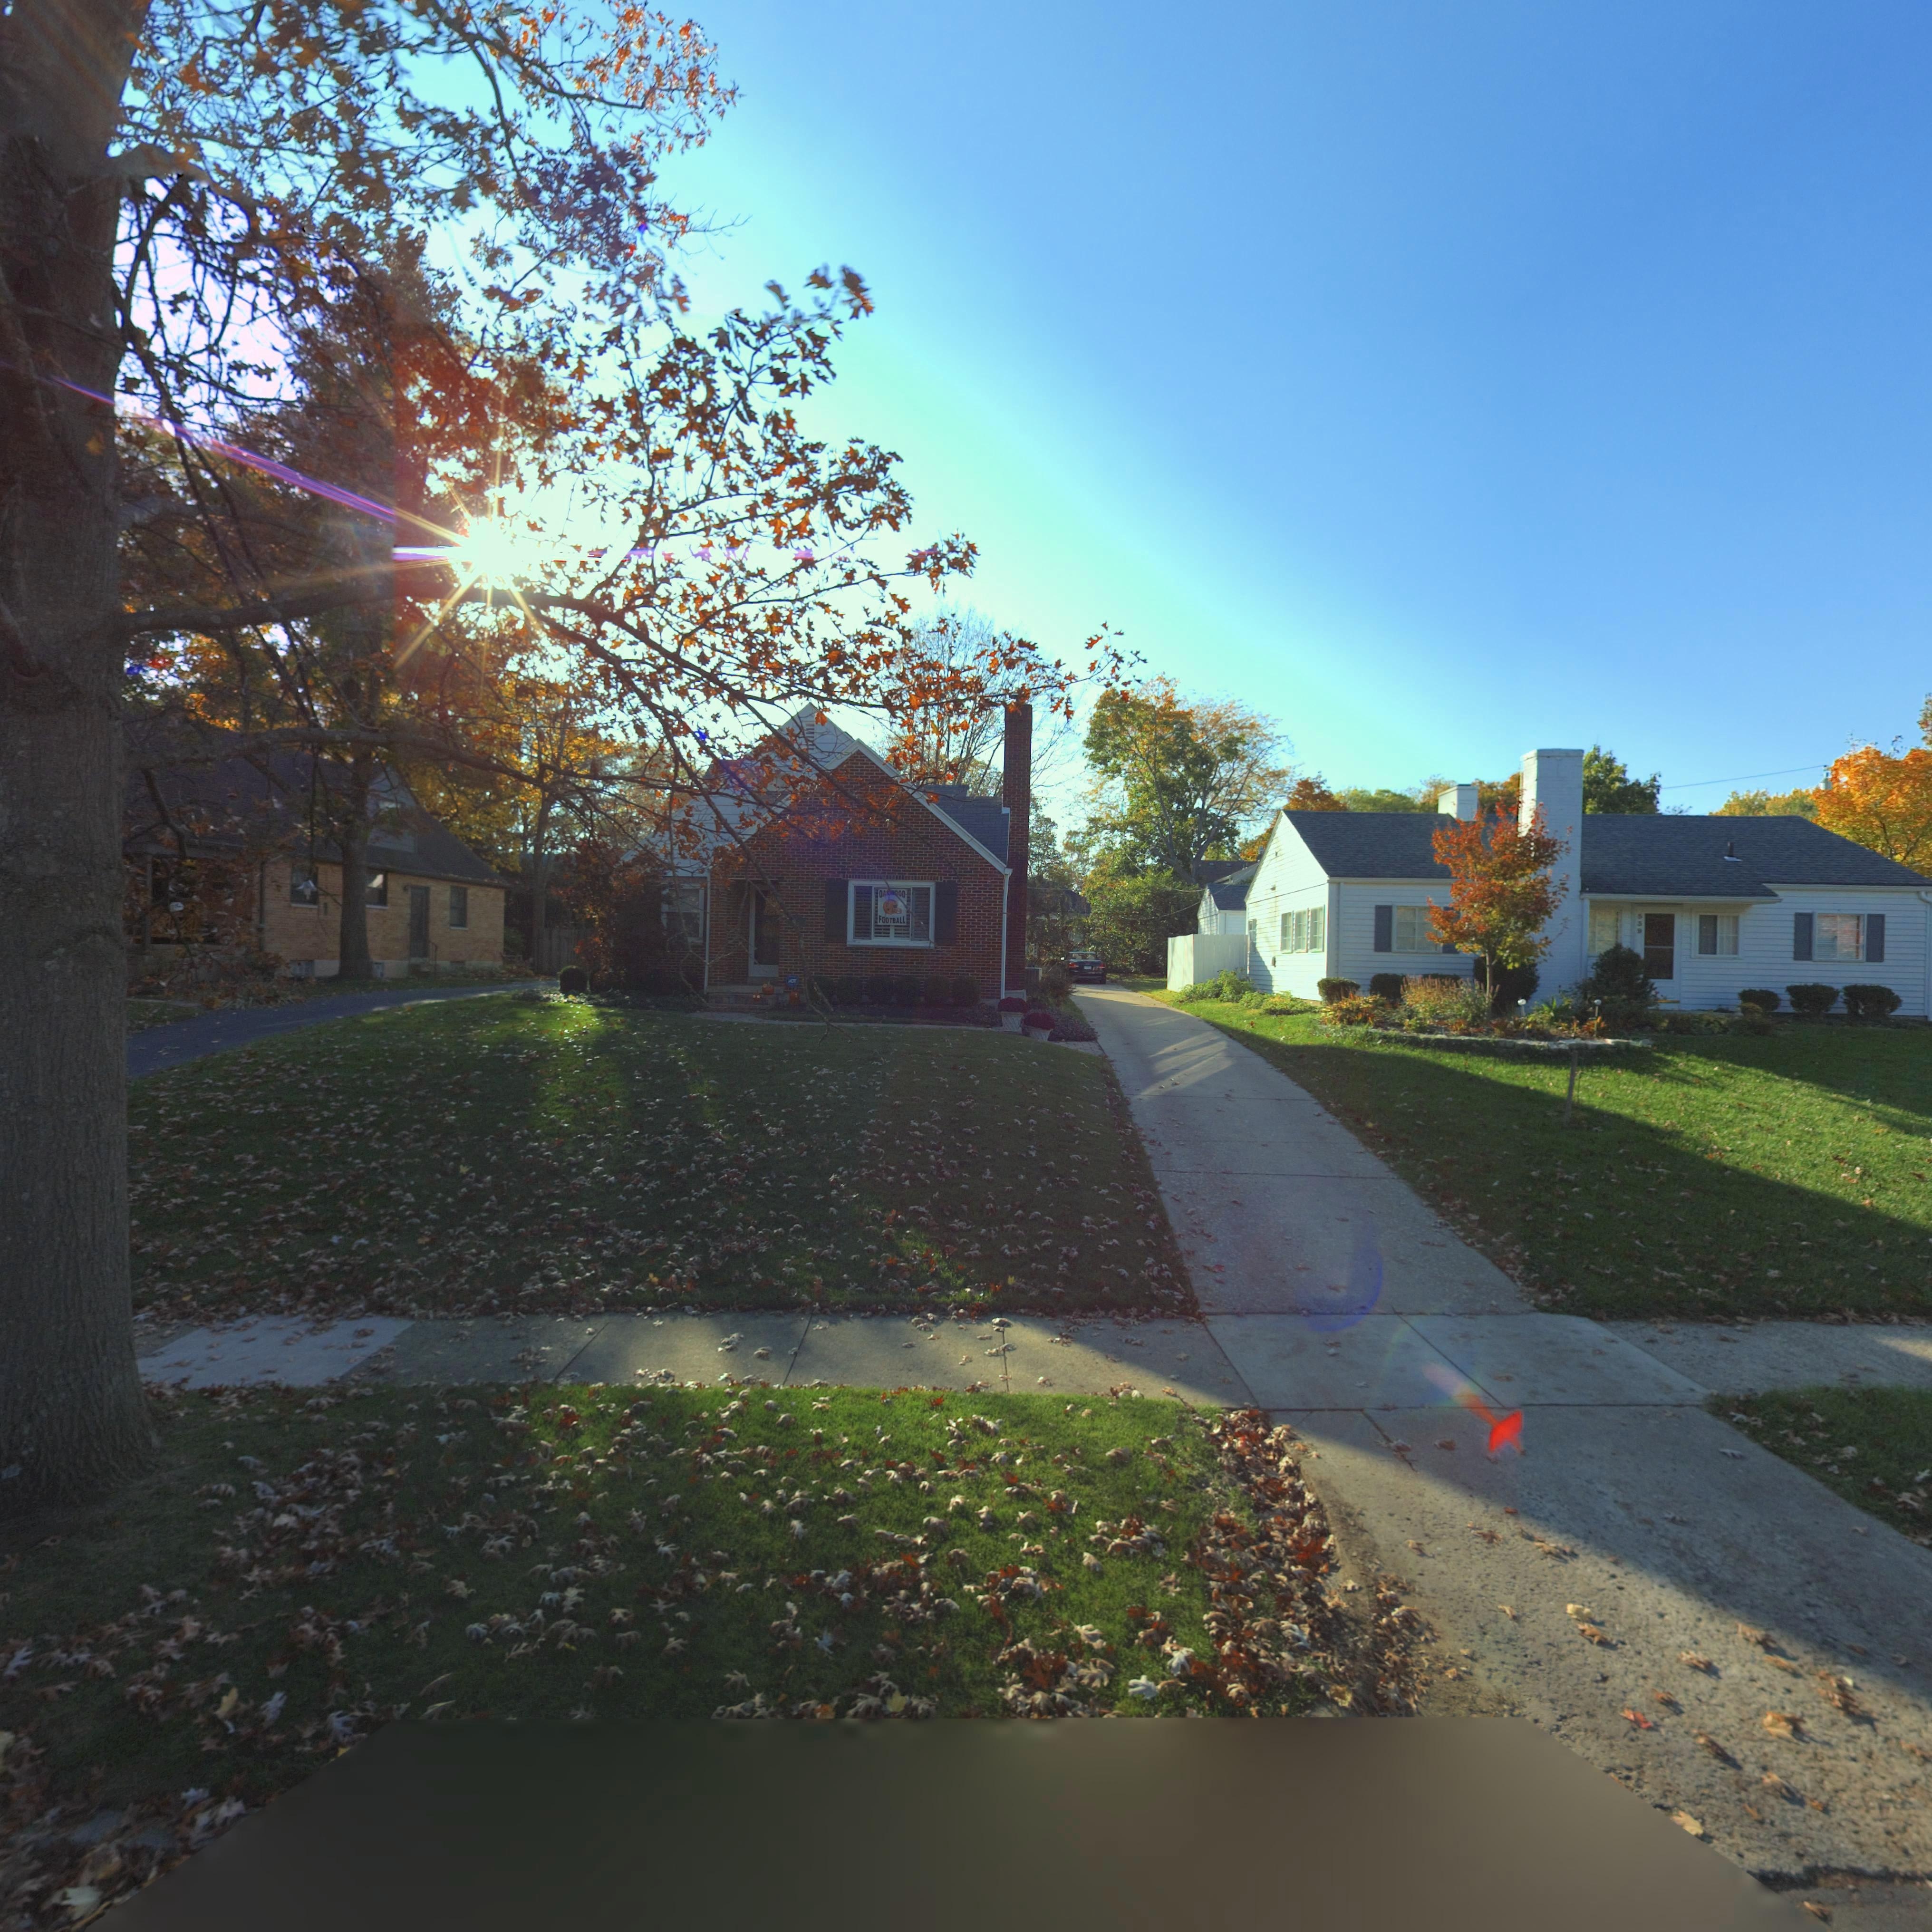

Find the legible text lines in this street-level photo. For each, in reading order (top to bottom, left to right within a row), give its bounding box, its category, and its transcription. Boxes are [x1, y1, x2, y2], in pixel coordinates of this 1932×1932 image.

[1637, 912, 1643, 934] StreetNumber: 539